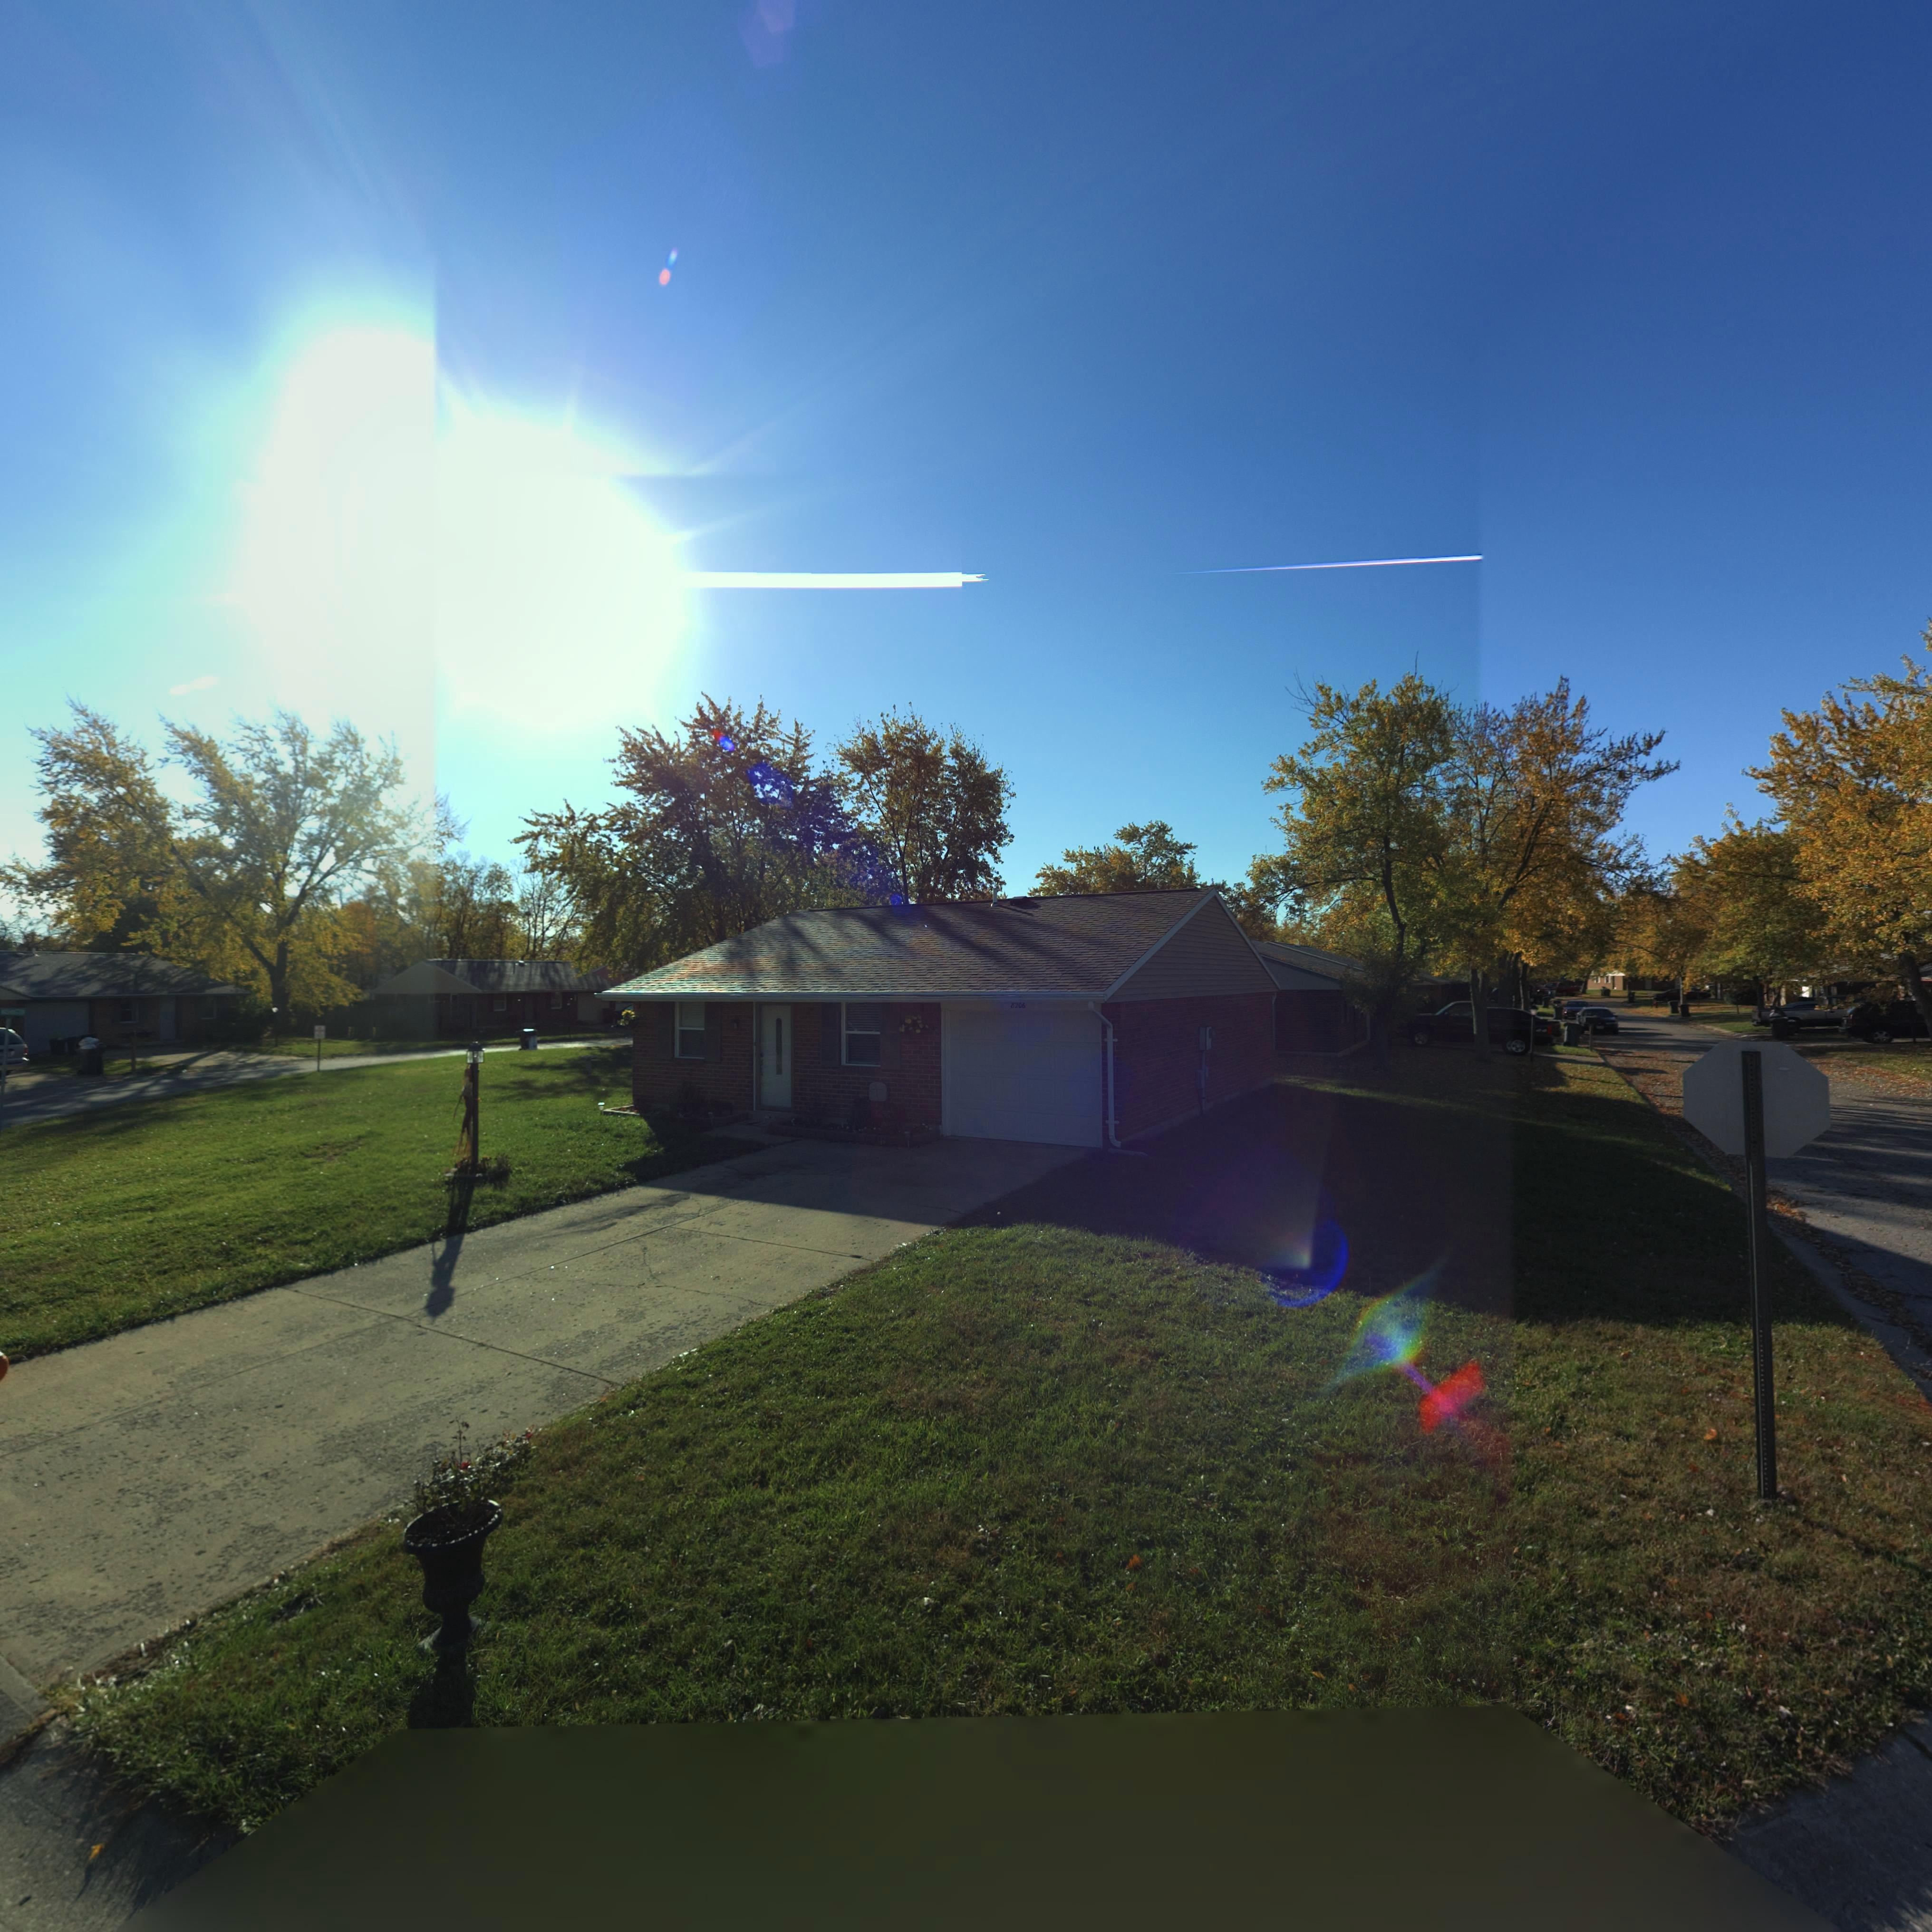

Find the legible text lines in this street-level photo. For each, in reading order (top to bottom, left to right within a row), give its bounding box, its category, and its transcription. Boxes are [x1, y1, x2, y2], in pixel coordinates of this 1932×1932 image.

[1009, 1002, 1027, 1009] StreetNumber: 8206